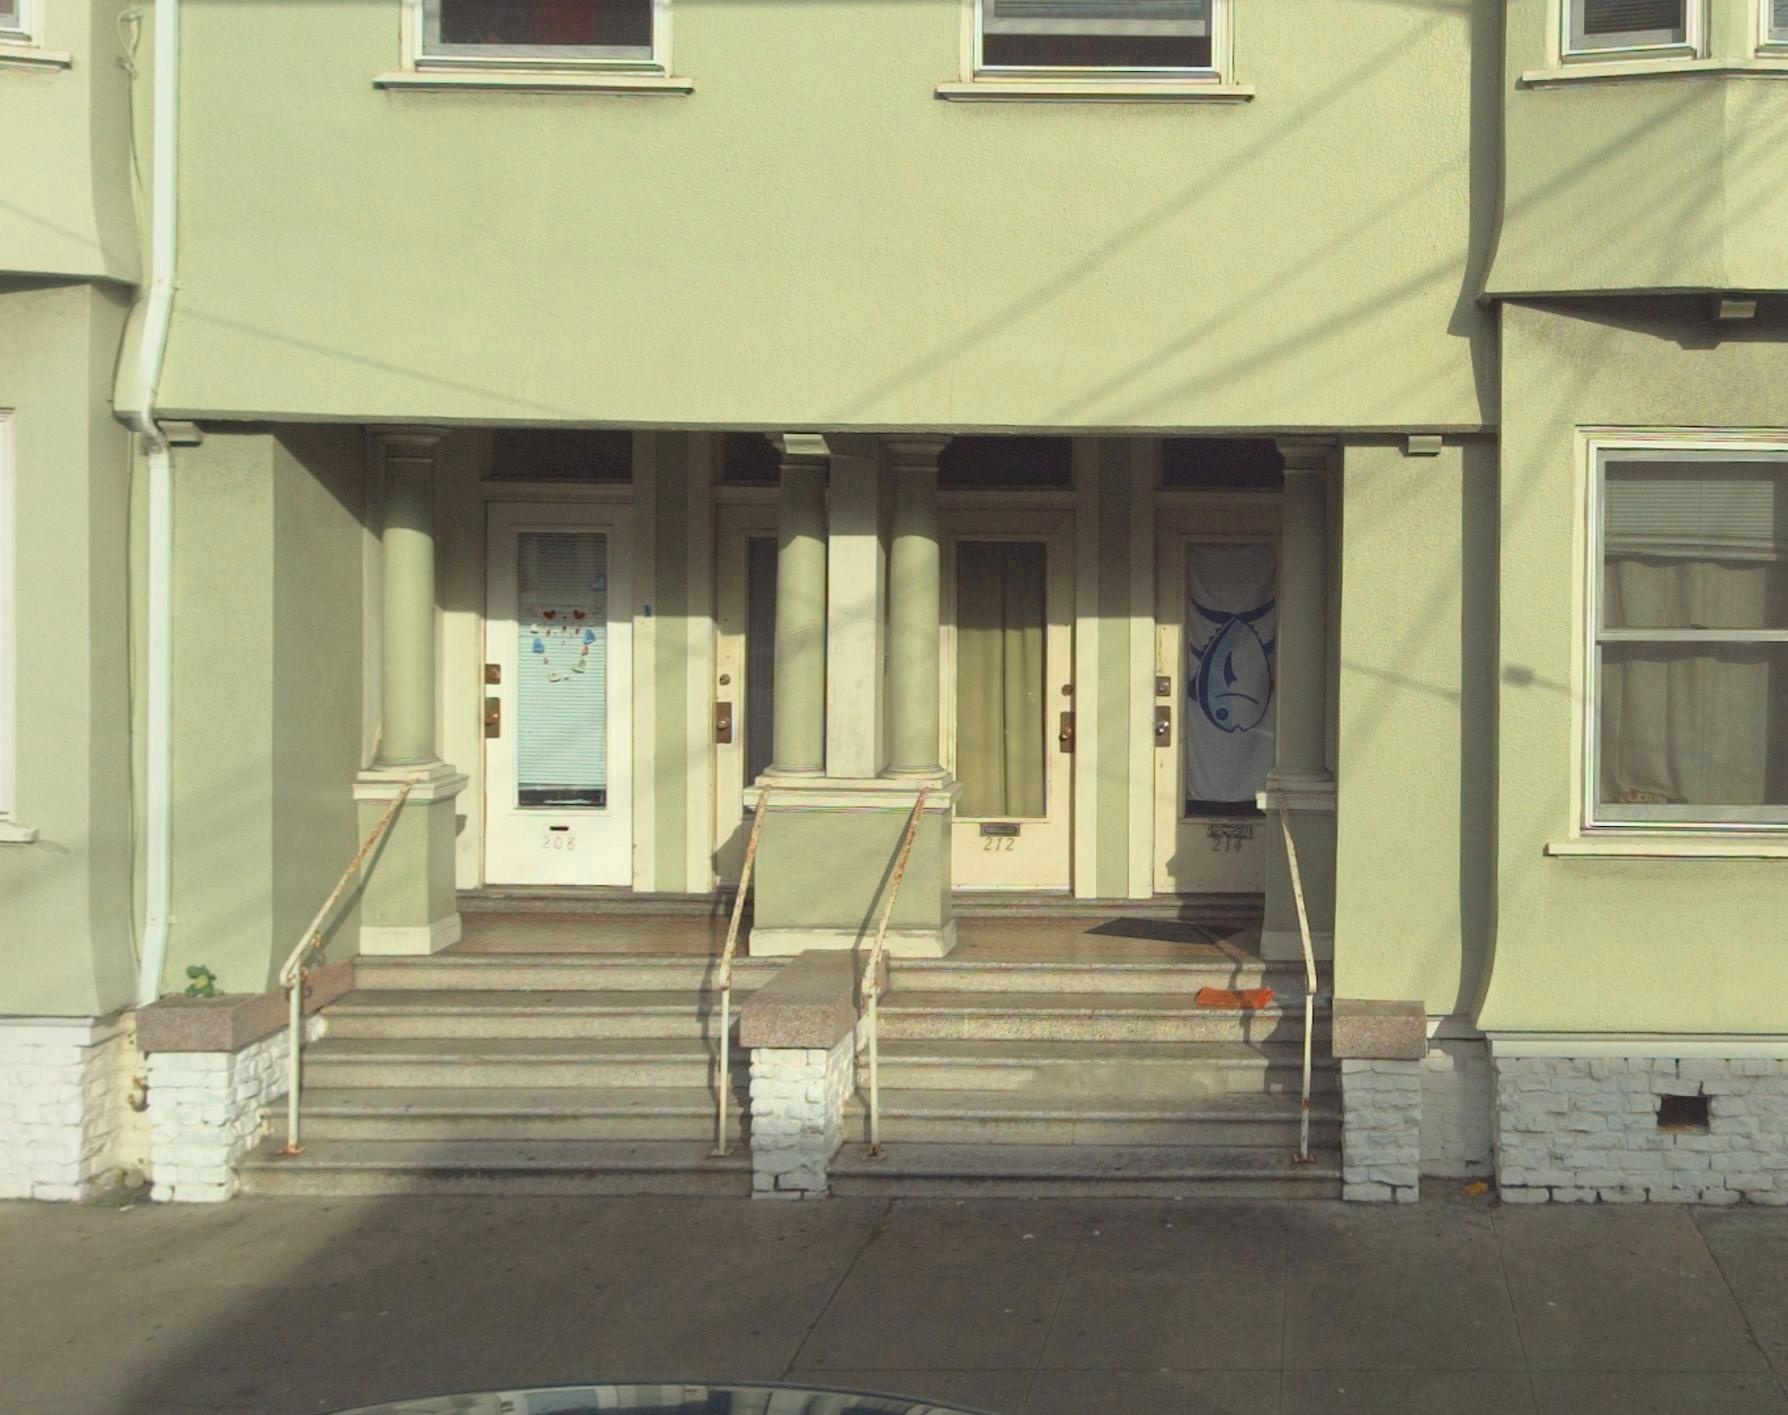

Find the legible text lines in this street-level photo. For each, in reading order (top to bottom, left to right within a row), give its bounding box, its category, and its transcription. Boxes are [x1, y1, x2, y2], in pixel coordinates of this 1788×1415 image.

[538, 834, 578, 852] StreetNumber: 208
[980, 835, 1016, 853] StreetNumber: 212
[1207, 835, 1245, 856] StreetNumber: 214